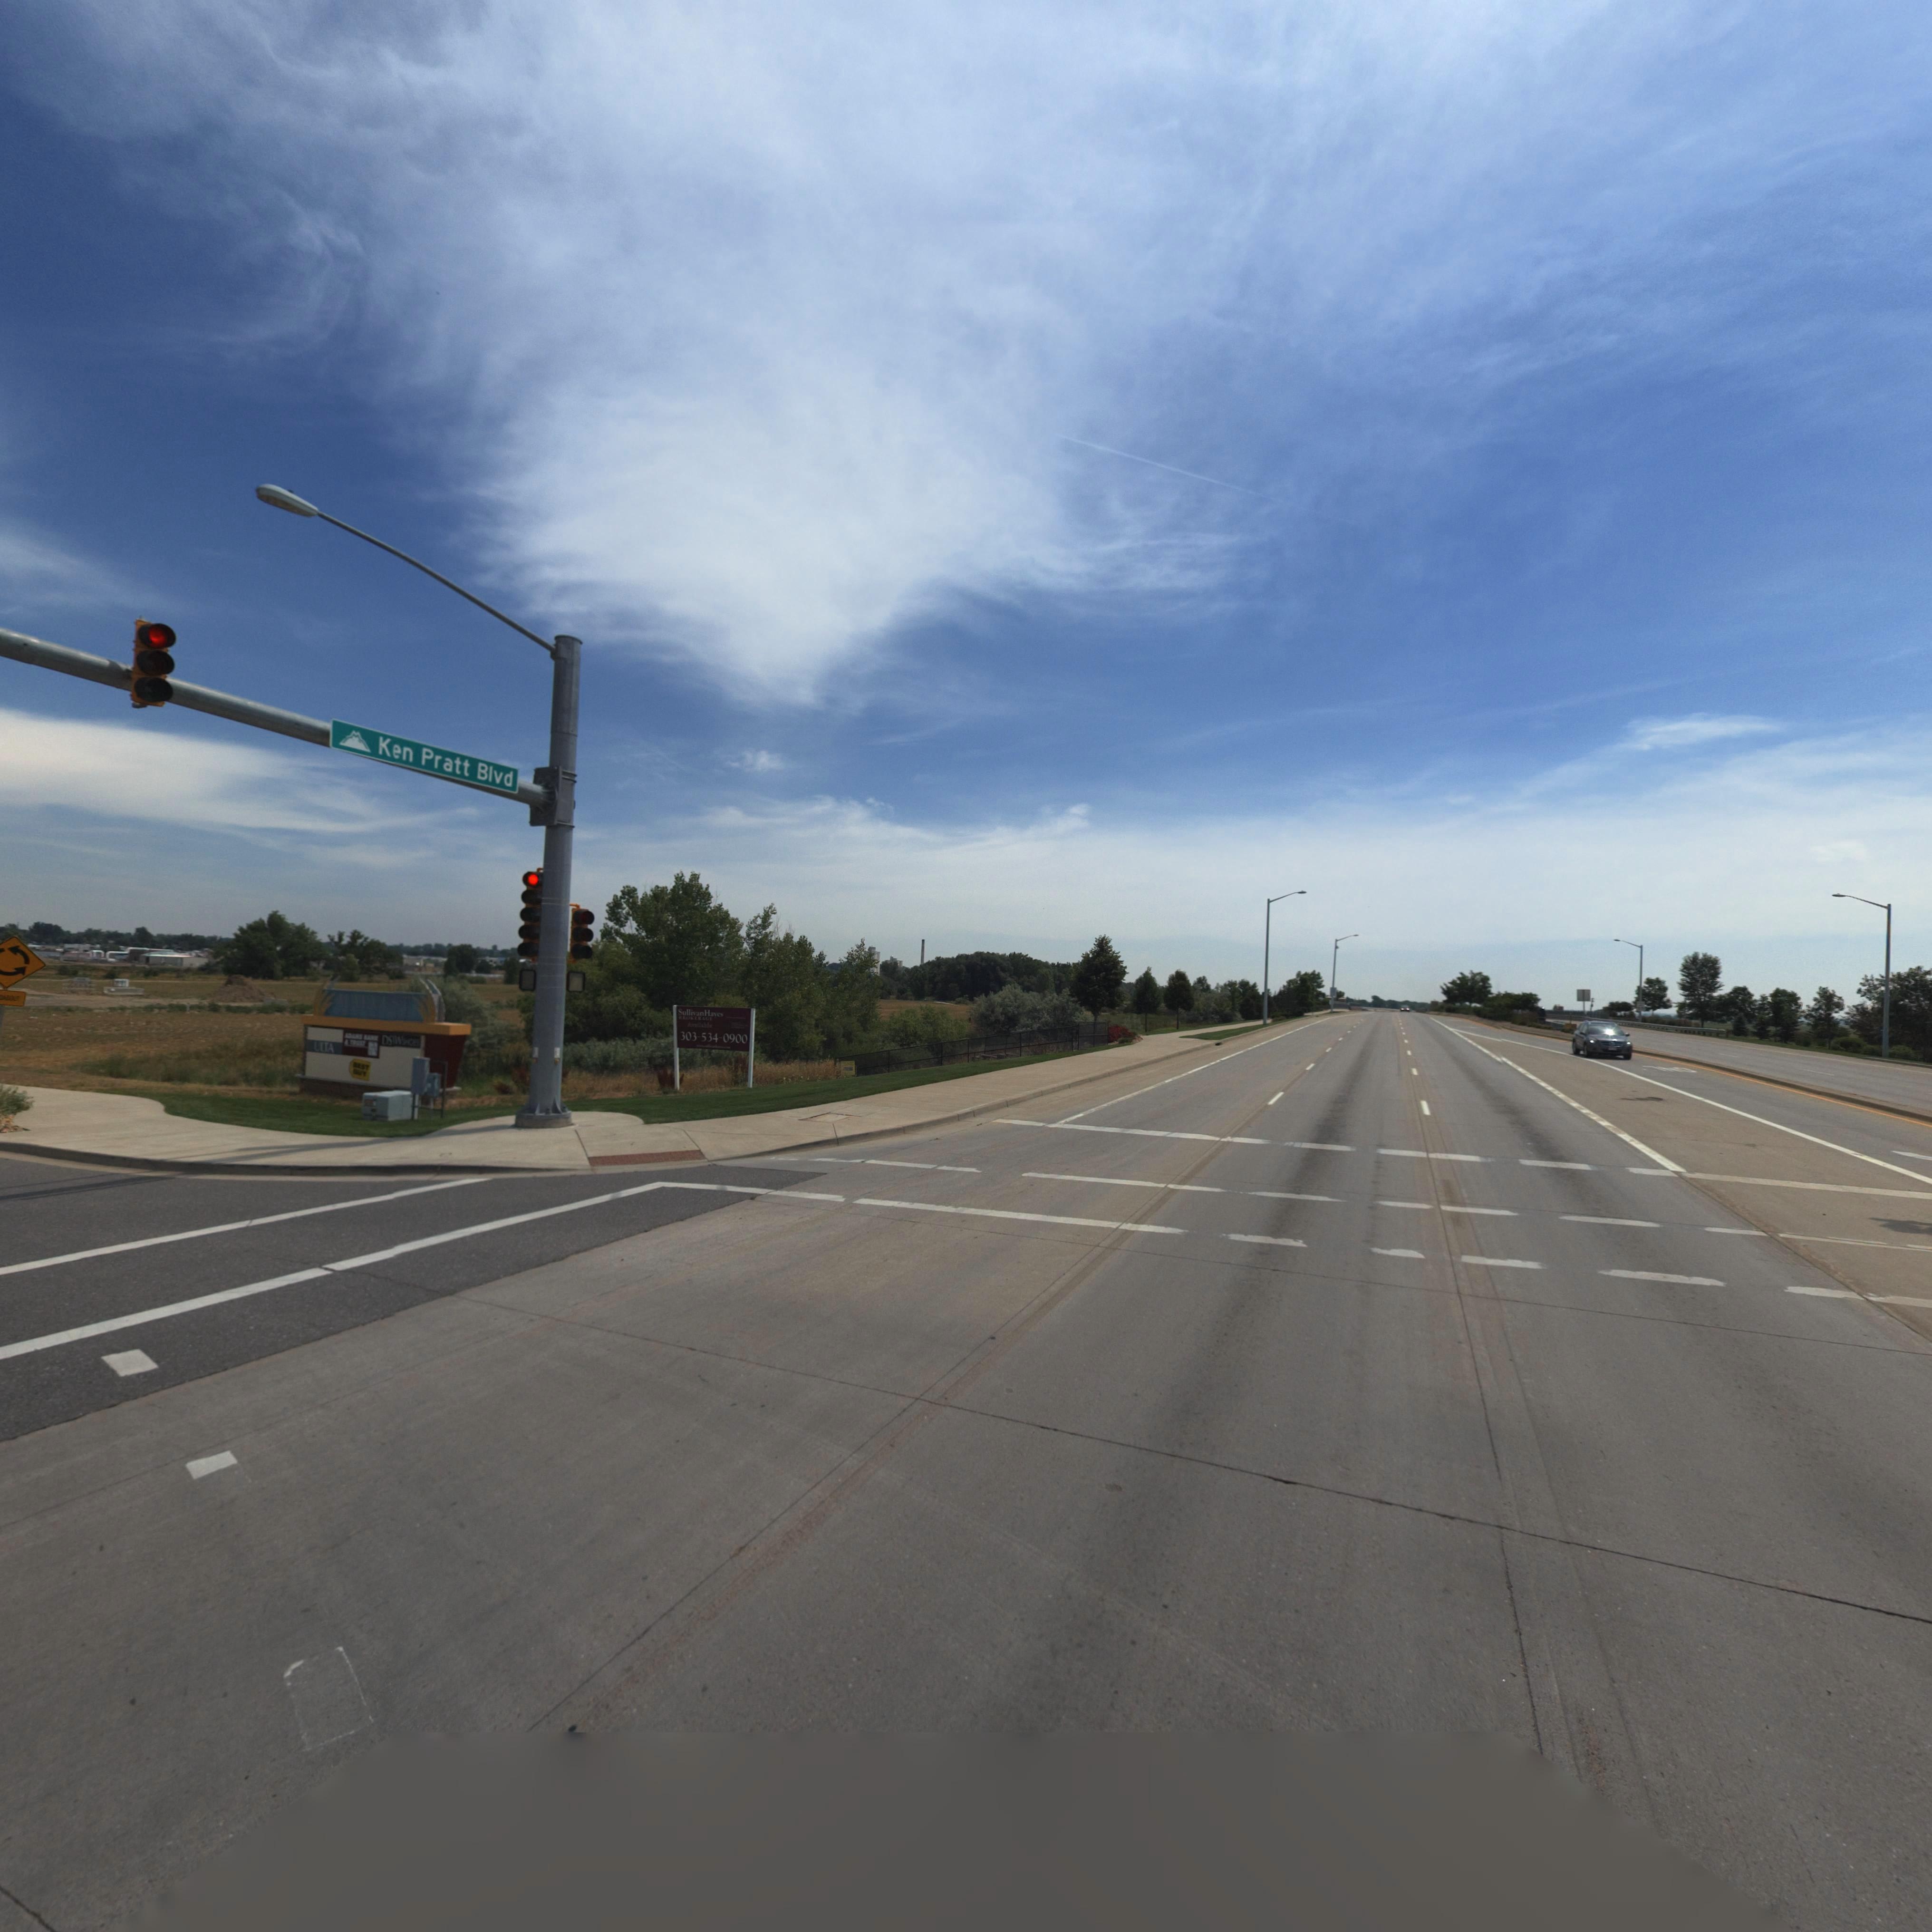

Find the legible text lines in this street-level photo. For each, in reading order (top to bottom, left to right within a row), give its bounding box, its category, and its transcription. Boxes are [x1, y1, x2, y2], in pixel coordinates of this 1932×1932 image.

[378, 735, 513, 788] StreetName: Ken Pratt Blvd
[344, 1032, 378, 1042] BusinessName: ADAMS BA**
[382, 1034, 421, 1047] BusinessName: DSW****
[313, 1041, 334, 1053] BusinessName: ULTA
[352, 1062, 369, 1071] BusinessName: BEST
[353, 1069, 367, 1077] BusinessName: BUY